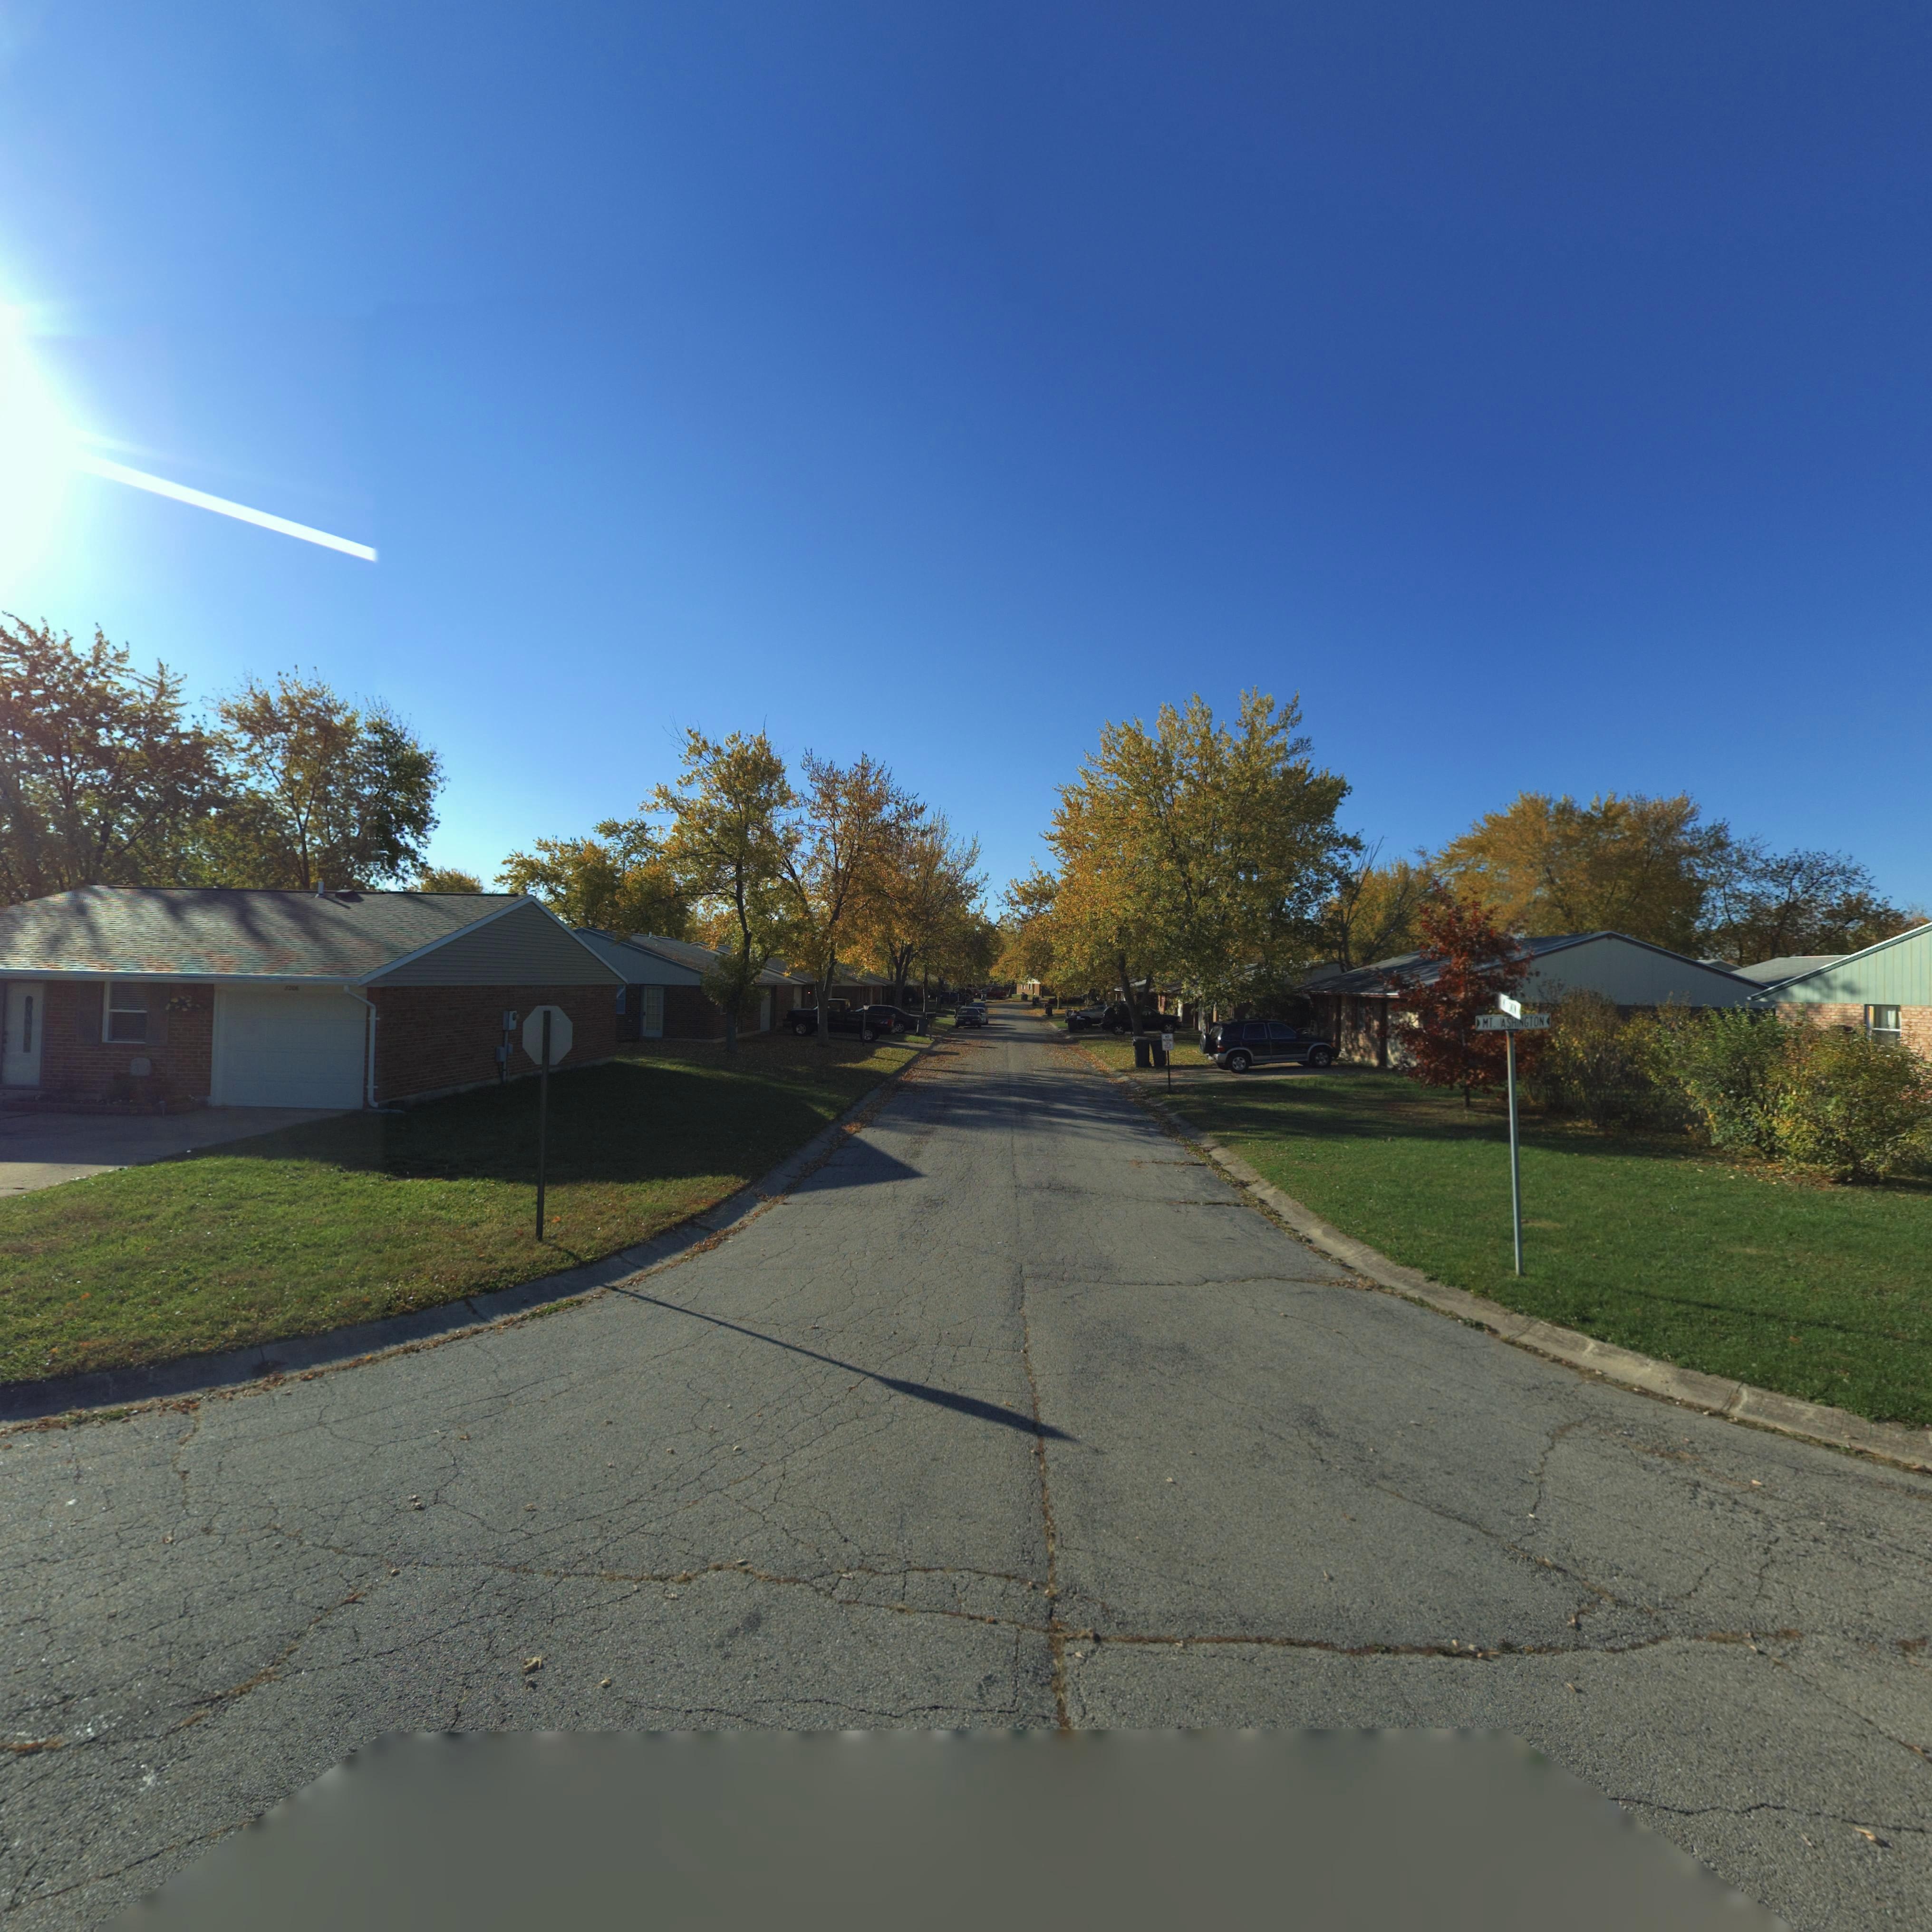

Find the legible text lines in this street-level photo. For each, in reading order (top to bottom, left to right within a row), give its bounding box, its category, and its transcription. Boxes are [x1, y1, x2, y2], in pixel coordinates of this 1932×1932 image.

[283, 985, 299, 991] StreetNumber: 8206